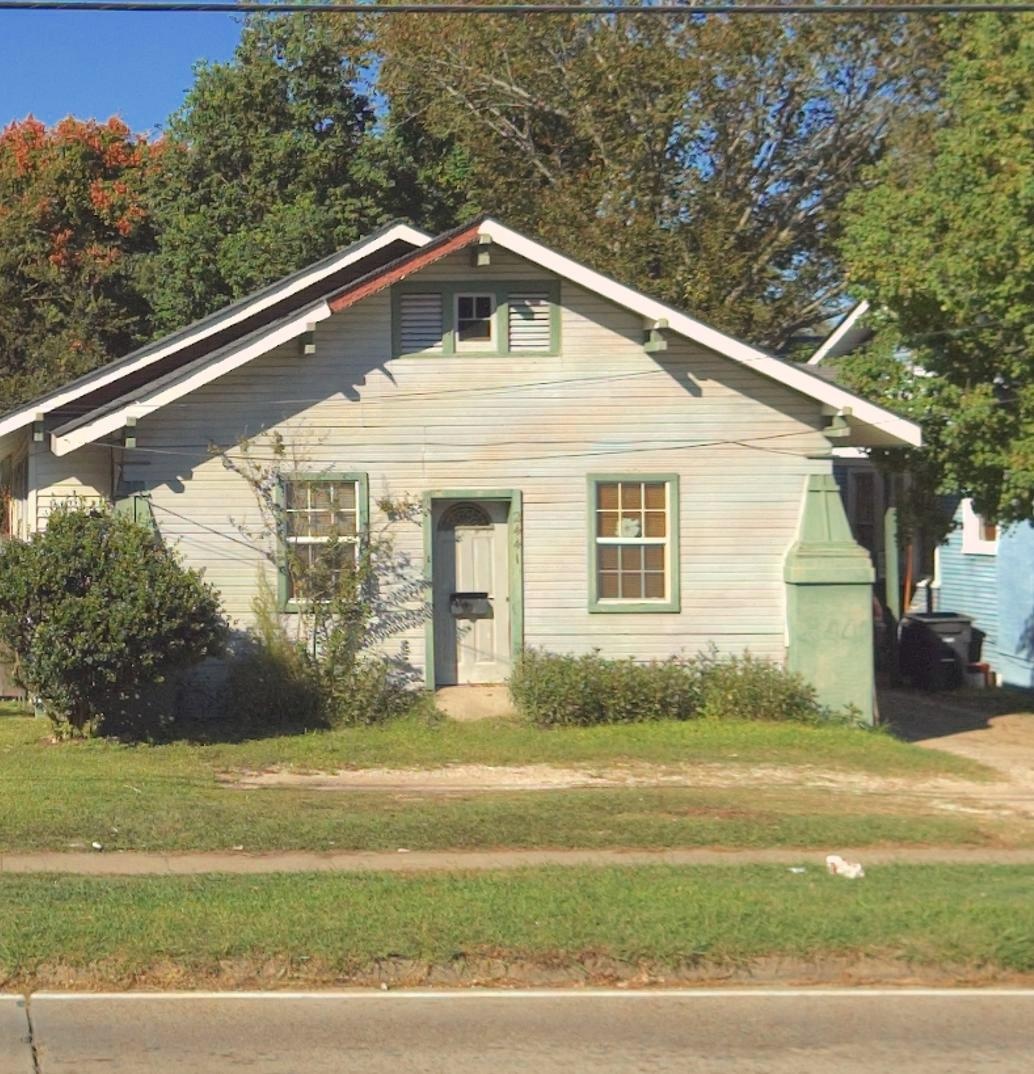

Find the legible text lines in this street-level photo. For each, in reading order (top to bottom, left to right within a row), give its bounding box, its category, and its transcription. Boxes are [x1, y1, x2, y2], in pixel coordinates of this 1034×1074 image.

[511, 509, 524, 568] StreetNumber: 2441